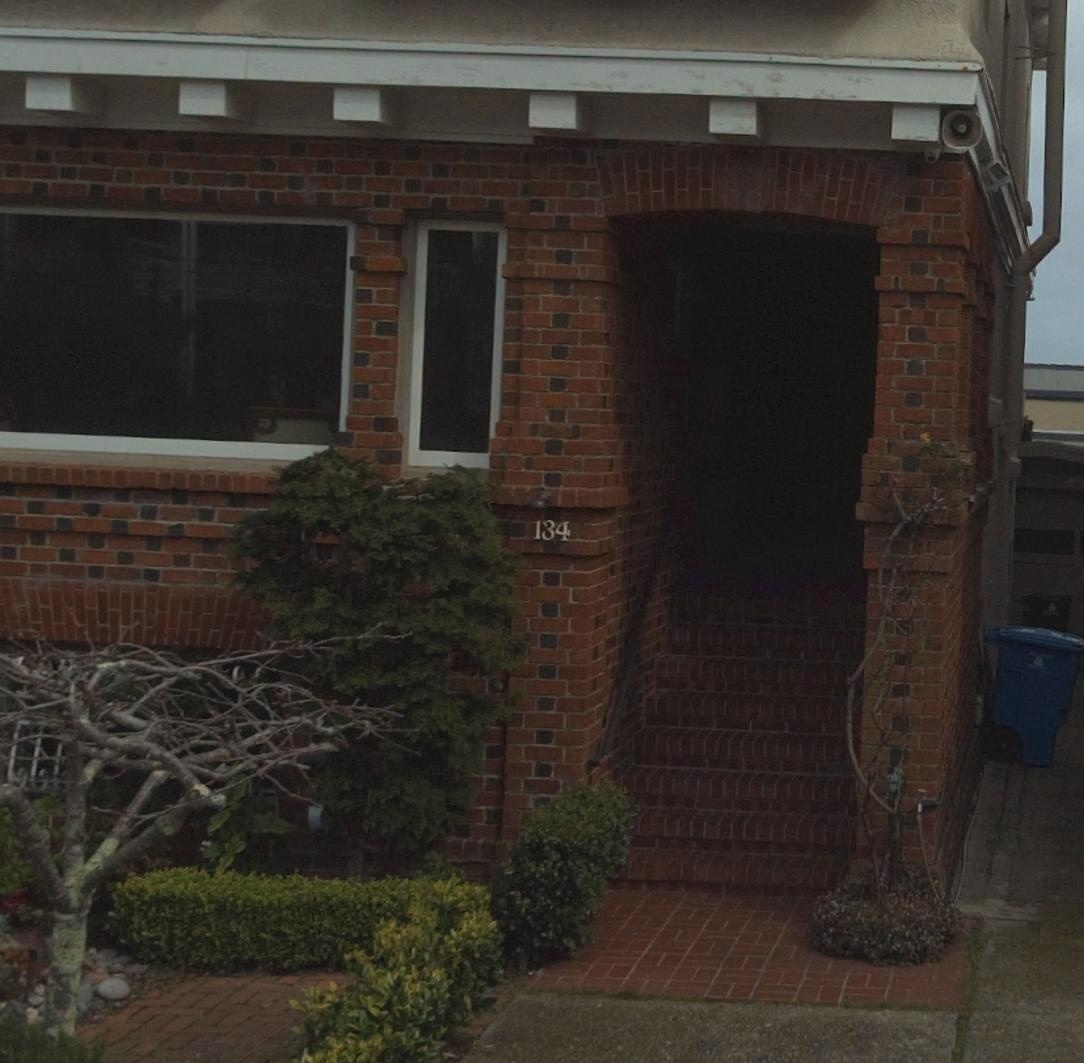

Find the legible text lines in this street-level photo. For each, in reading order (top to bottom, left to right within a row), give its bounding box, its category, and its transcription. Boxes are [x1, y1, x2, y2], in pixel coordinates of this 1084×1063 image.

[532, 518, 572, 543] StreetNumber: 134